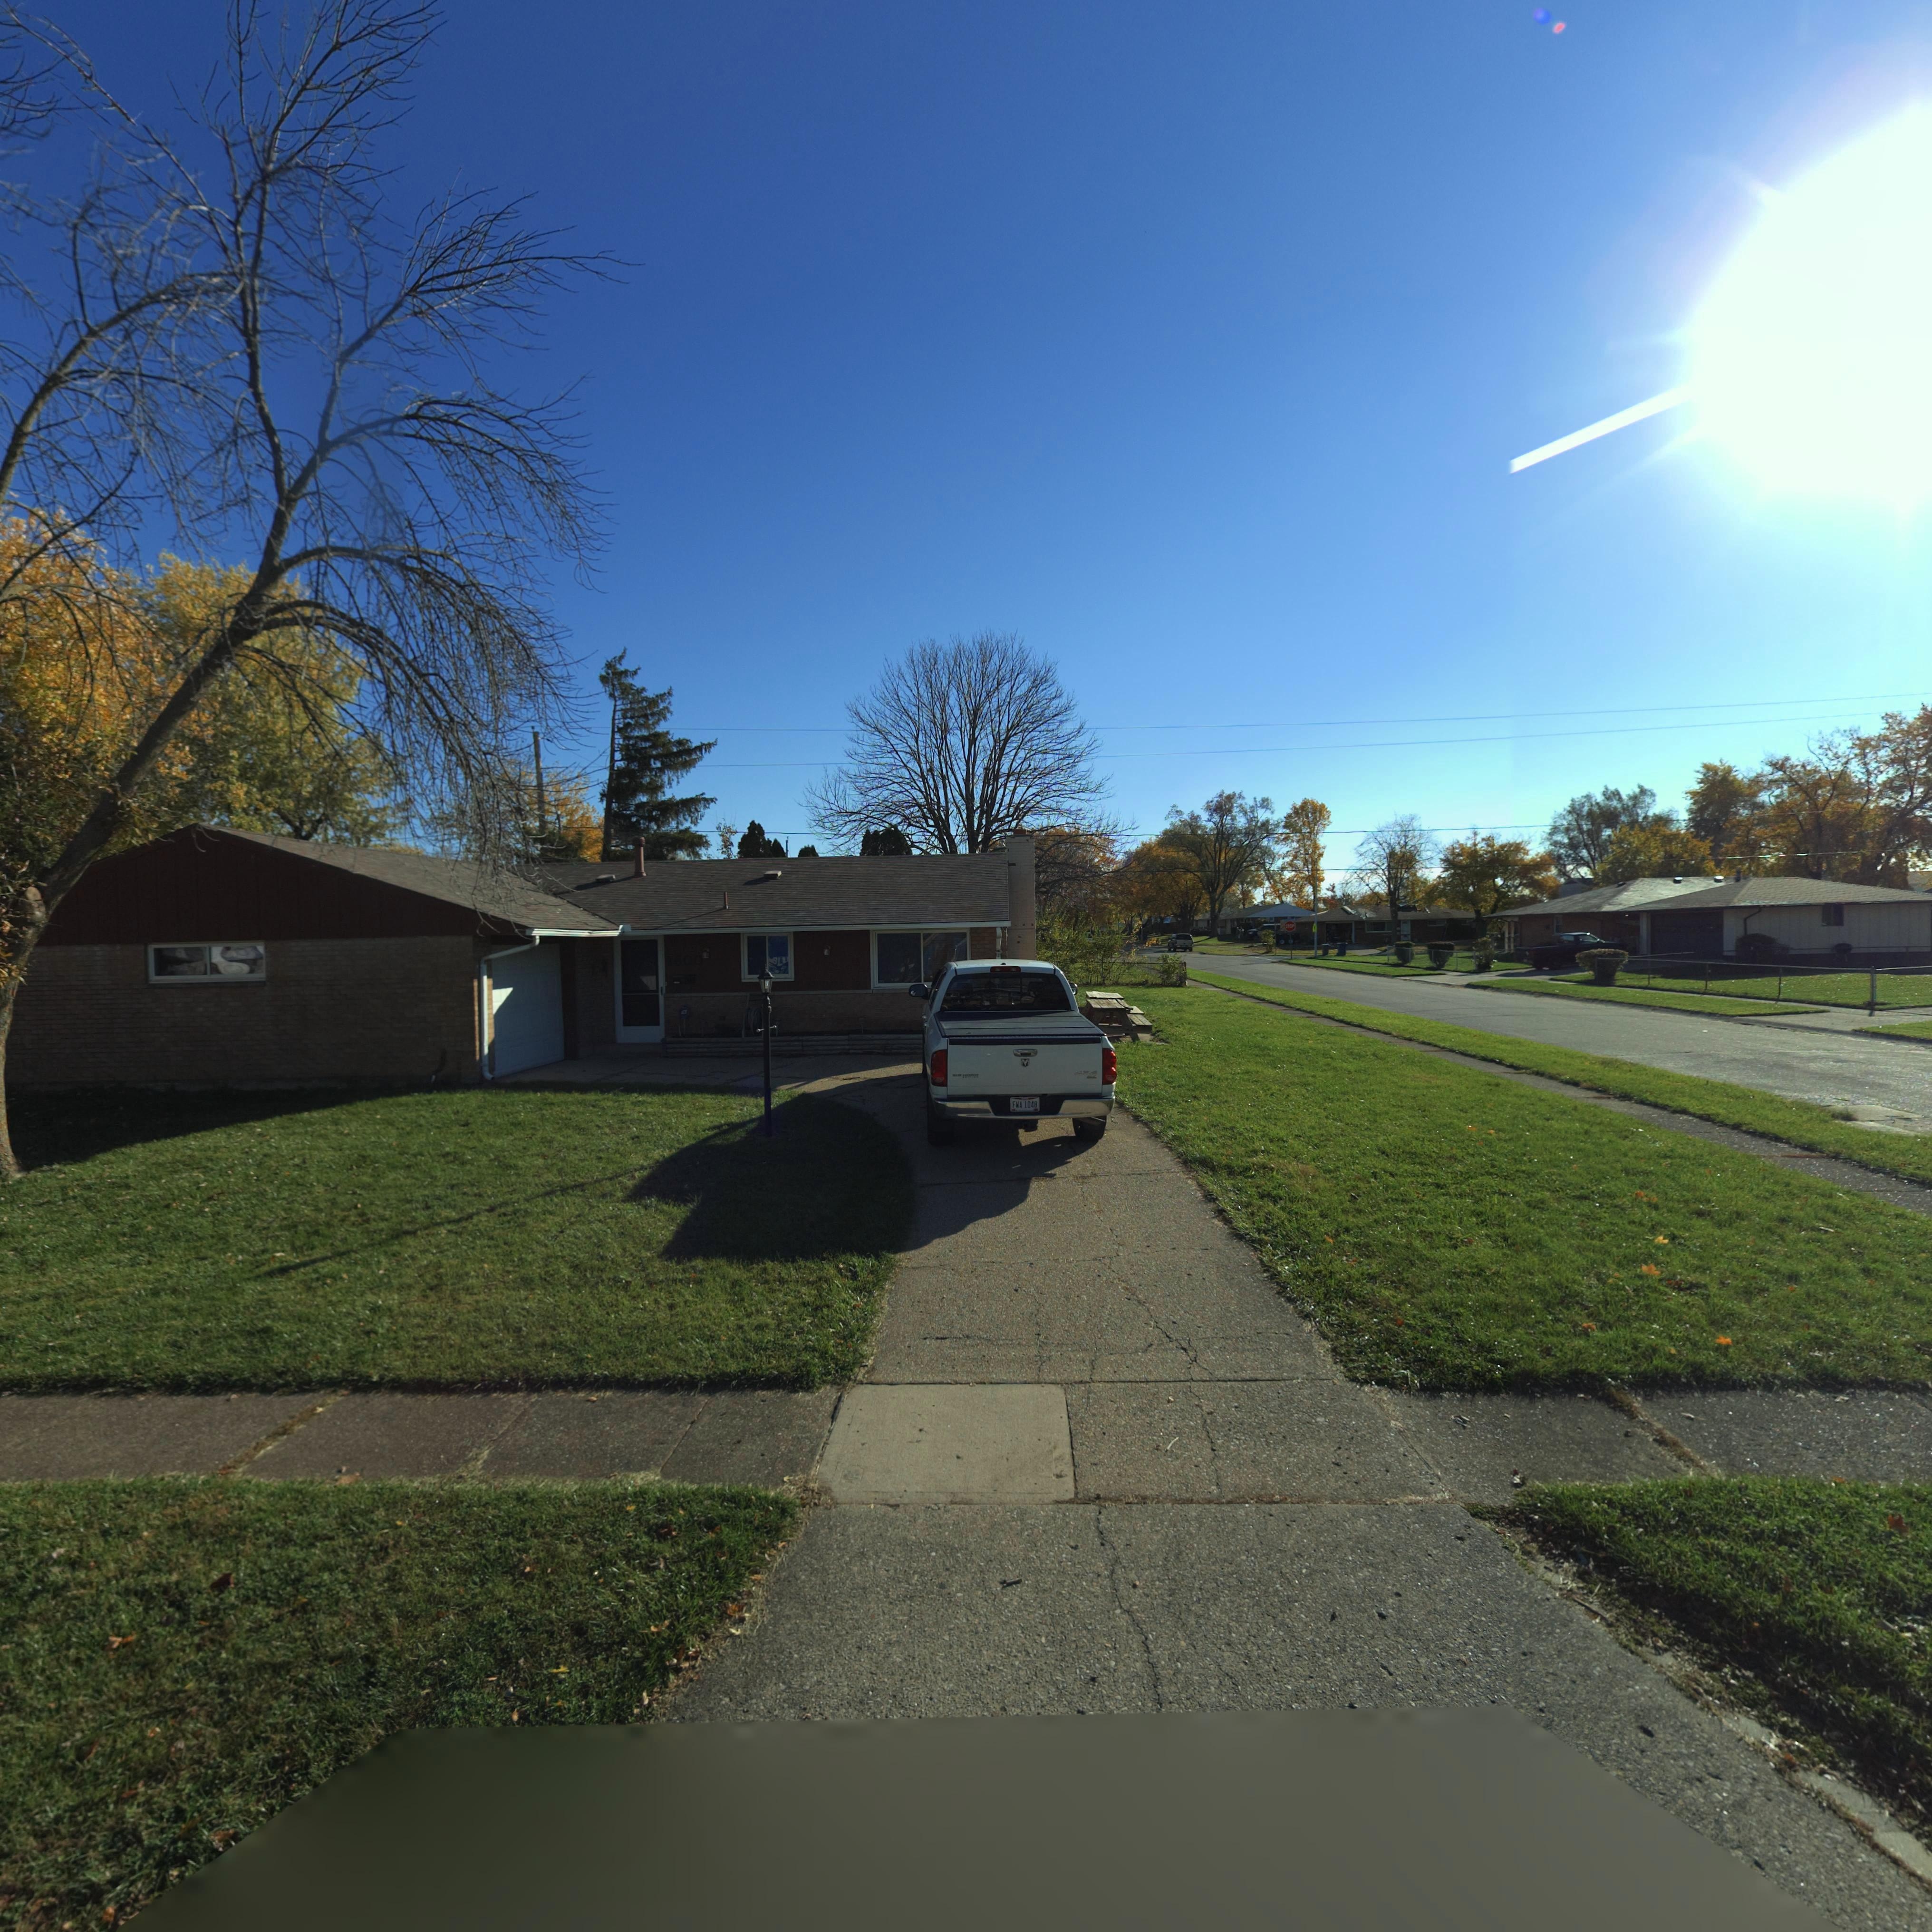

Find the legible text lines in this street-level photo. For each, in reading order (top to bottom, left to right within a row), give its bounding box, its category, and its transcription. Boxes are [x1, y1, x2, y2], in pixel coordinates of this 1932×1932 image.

[666, 954, 704, 967] StreetNumber: 7800